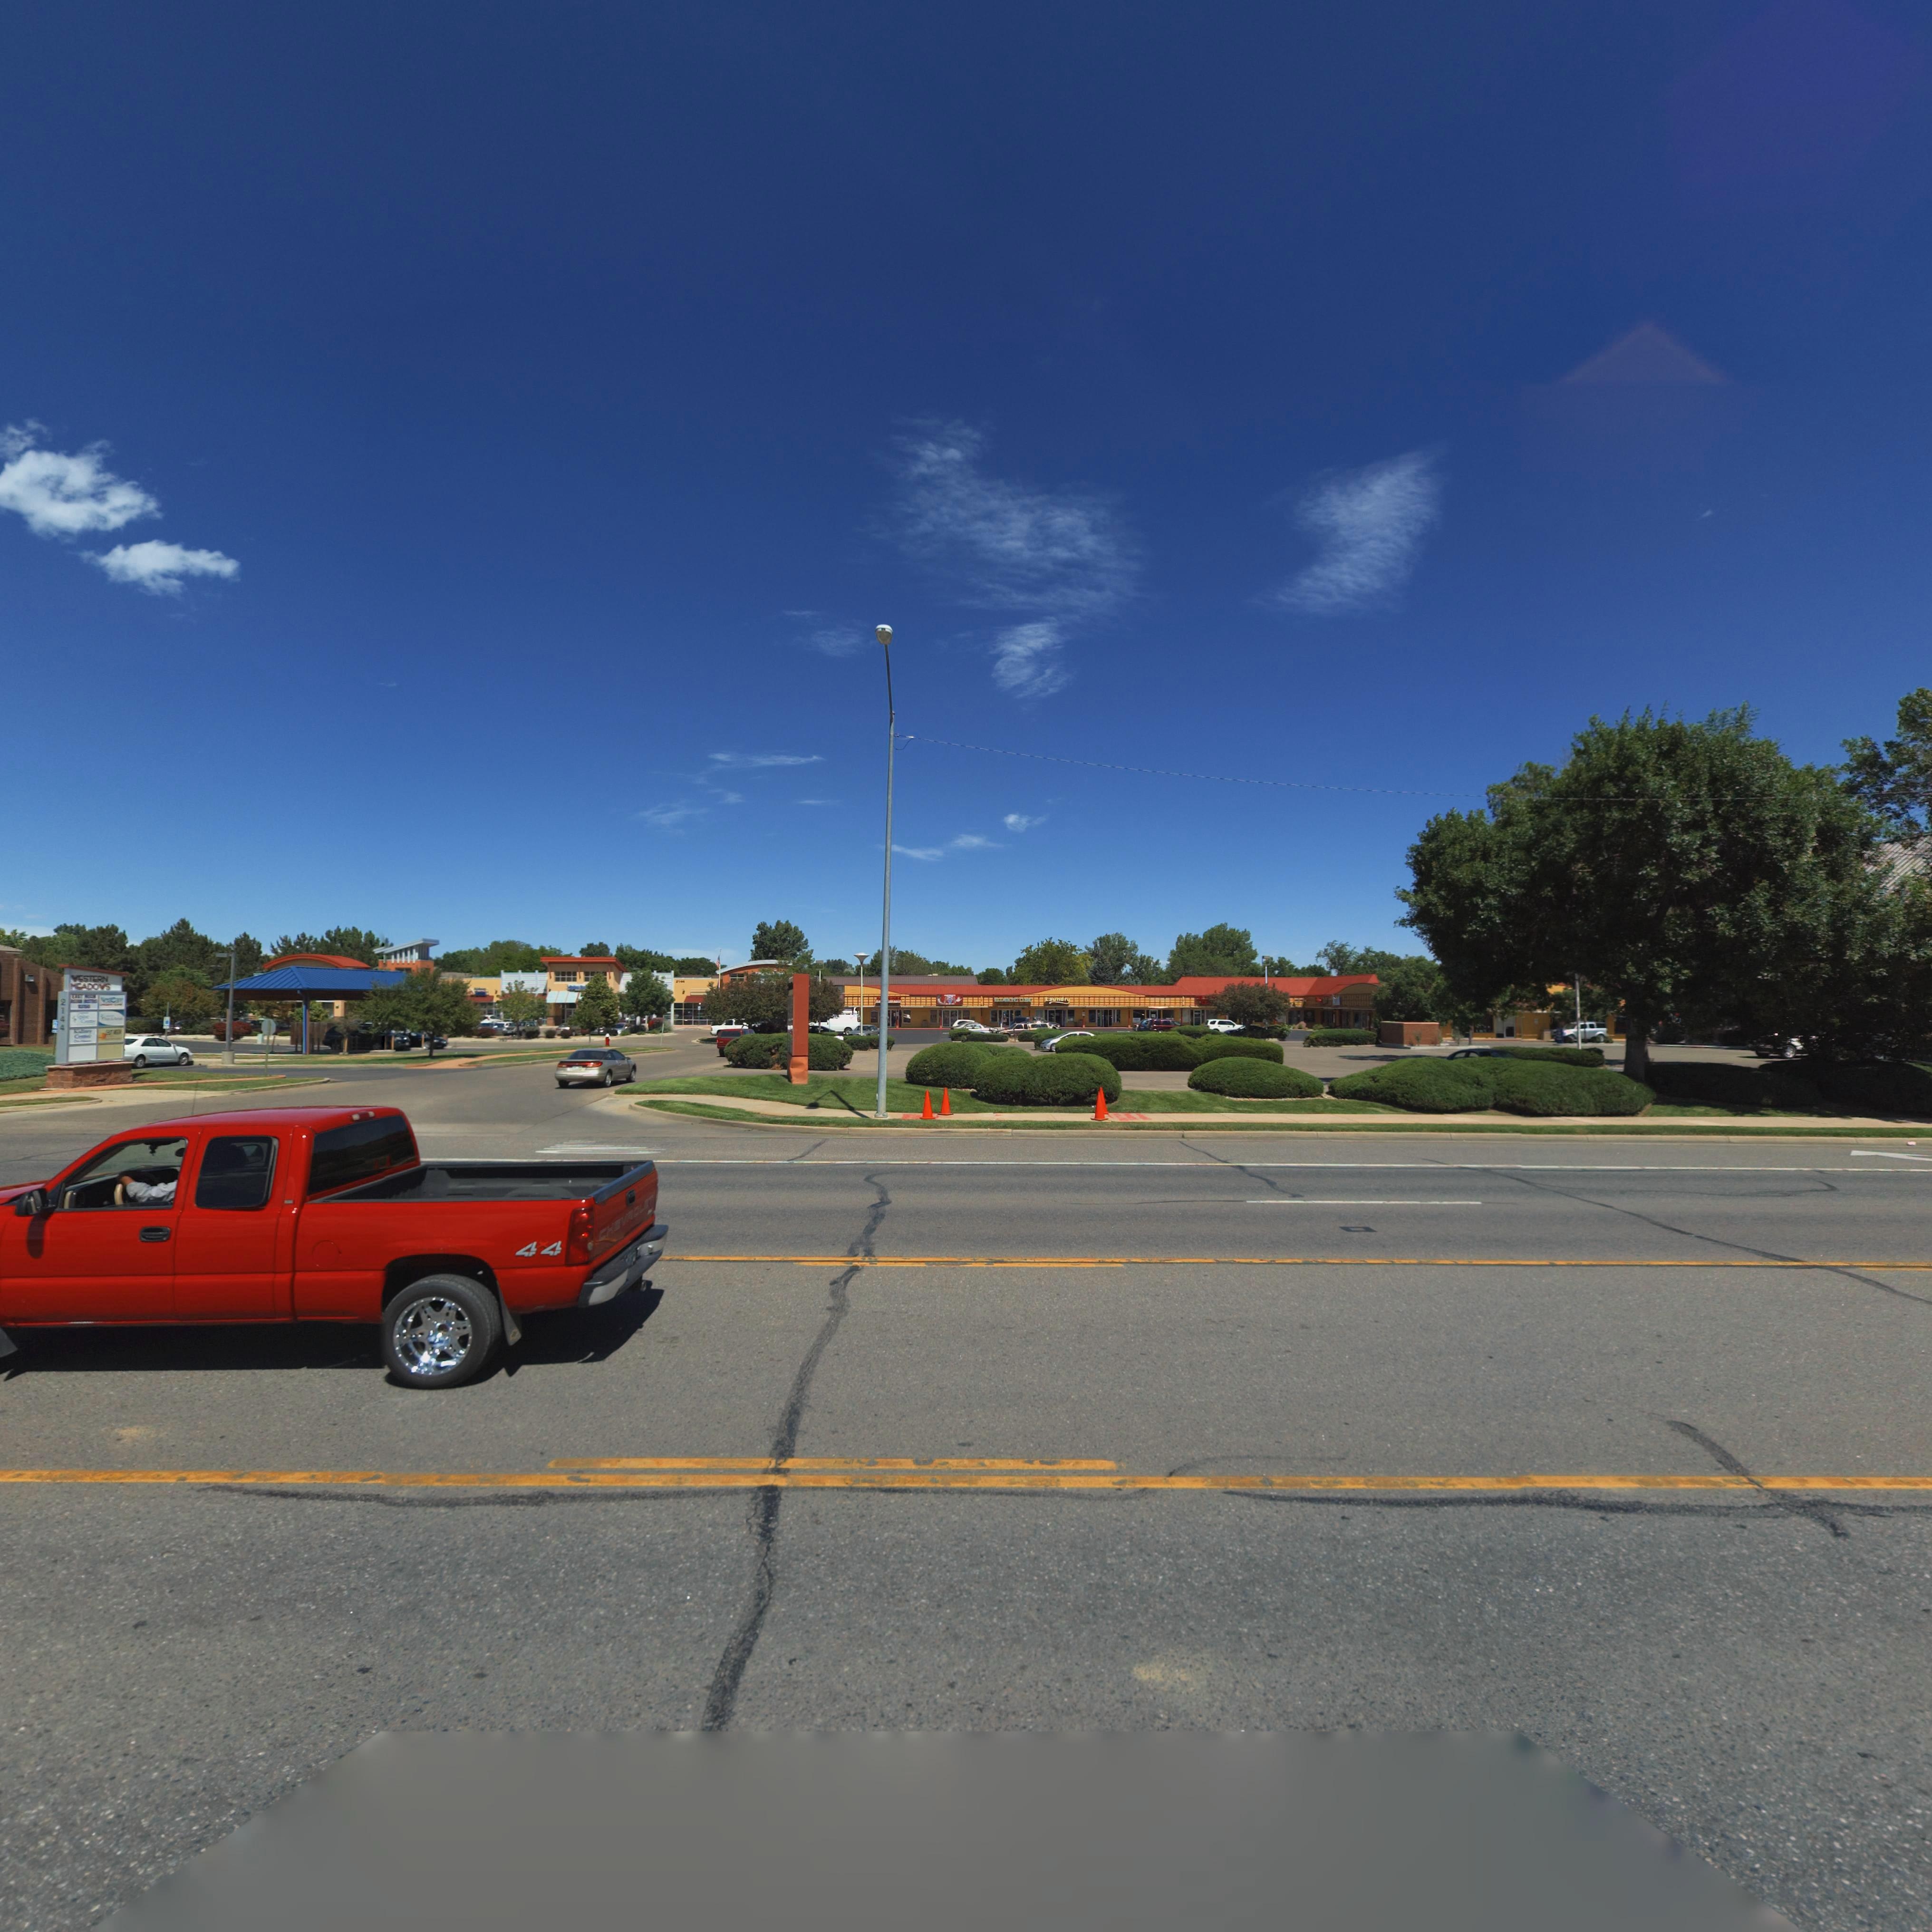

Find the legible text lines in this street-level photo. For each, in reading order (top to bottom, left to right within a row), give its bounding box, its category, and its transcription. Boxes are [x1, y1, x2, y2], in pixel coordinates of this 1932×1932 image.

[59, 998, 66, 1032] StreetNumber: 2144